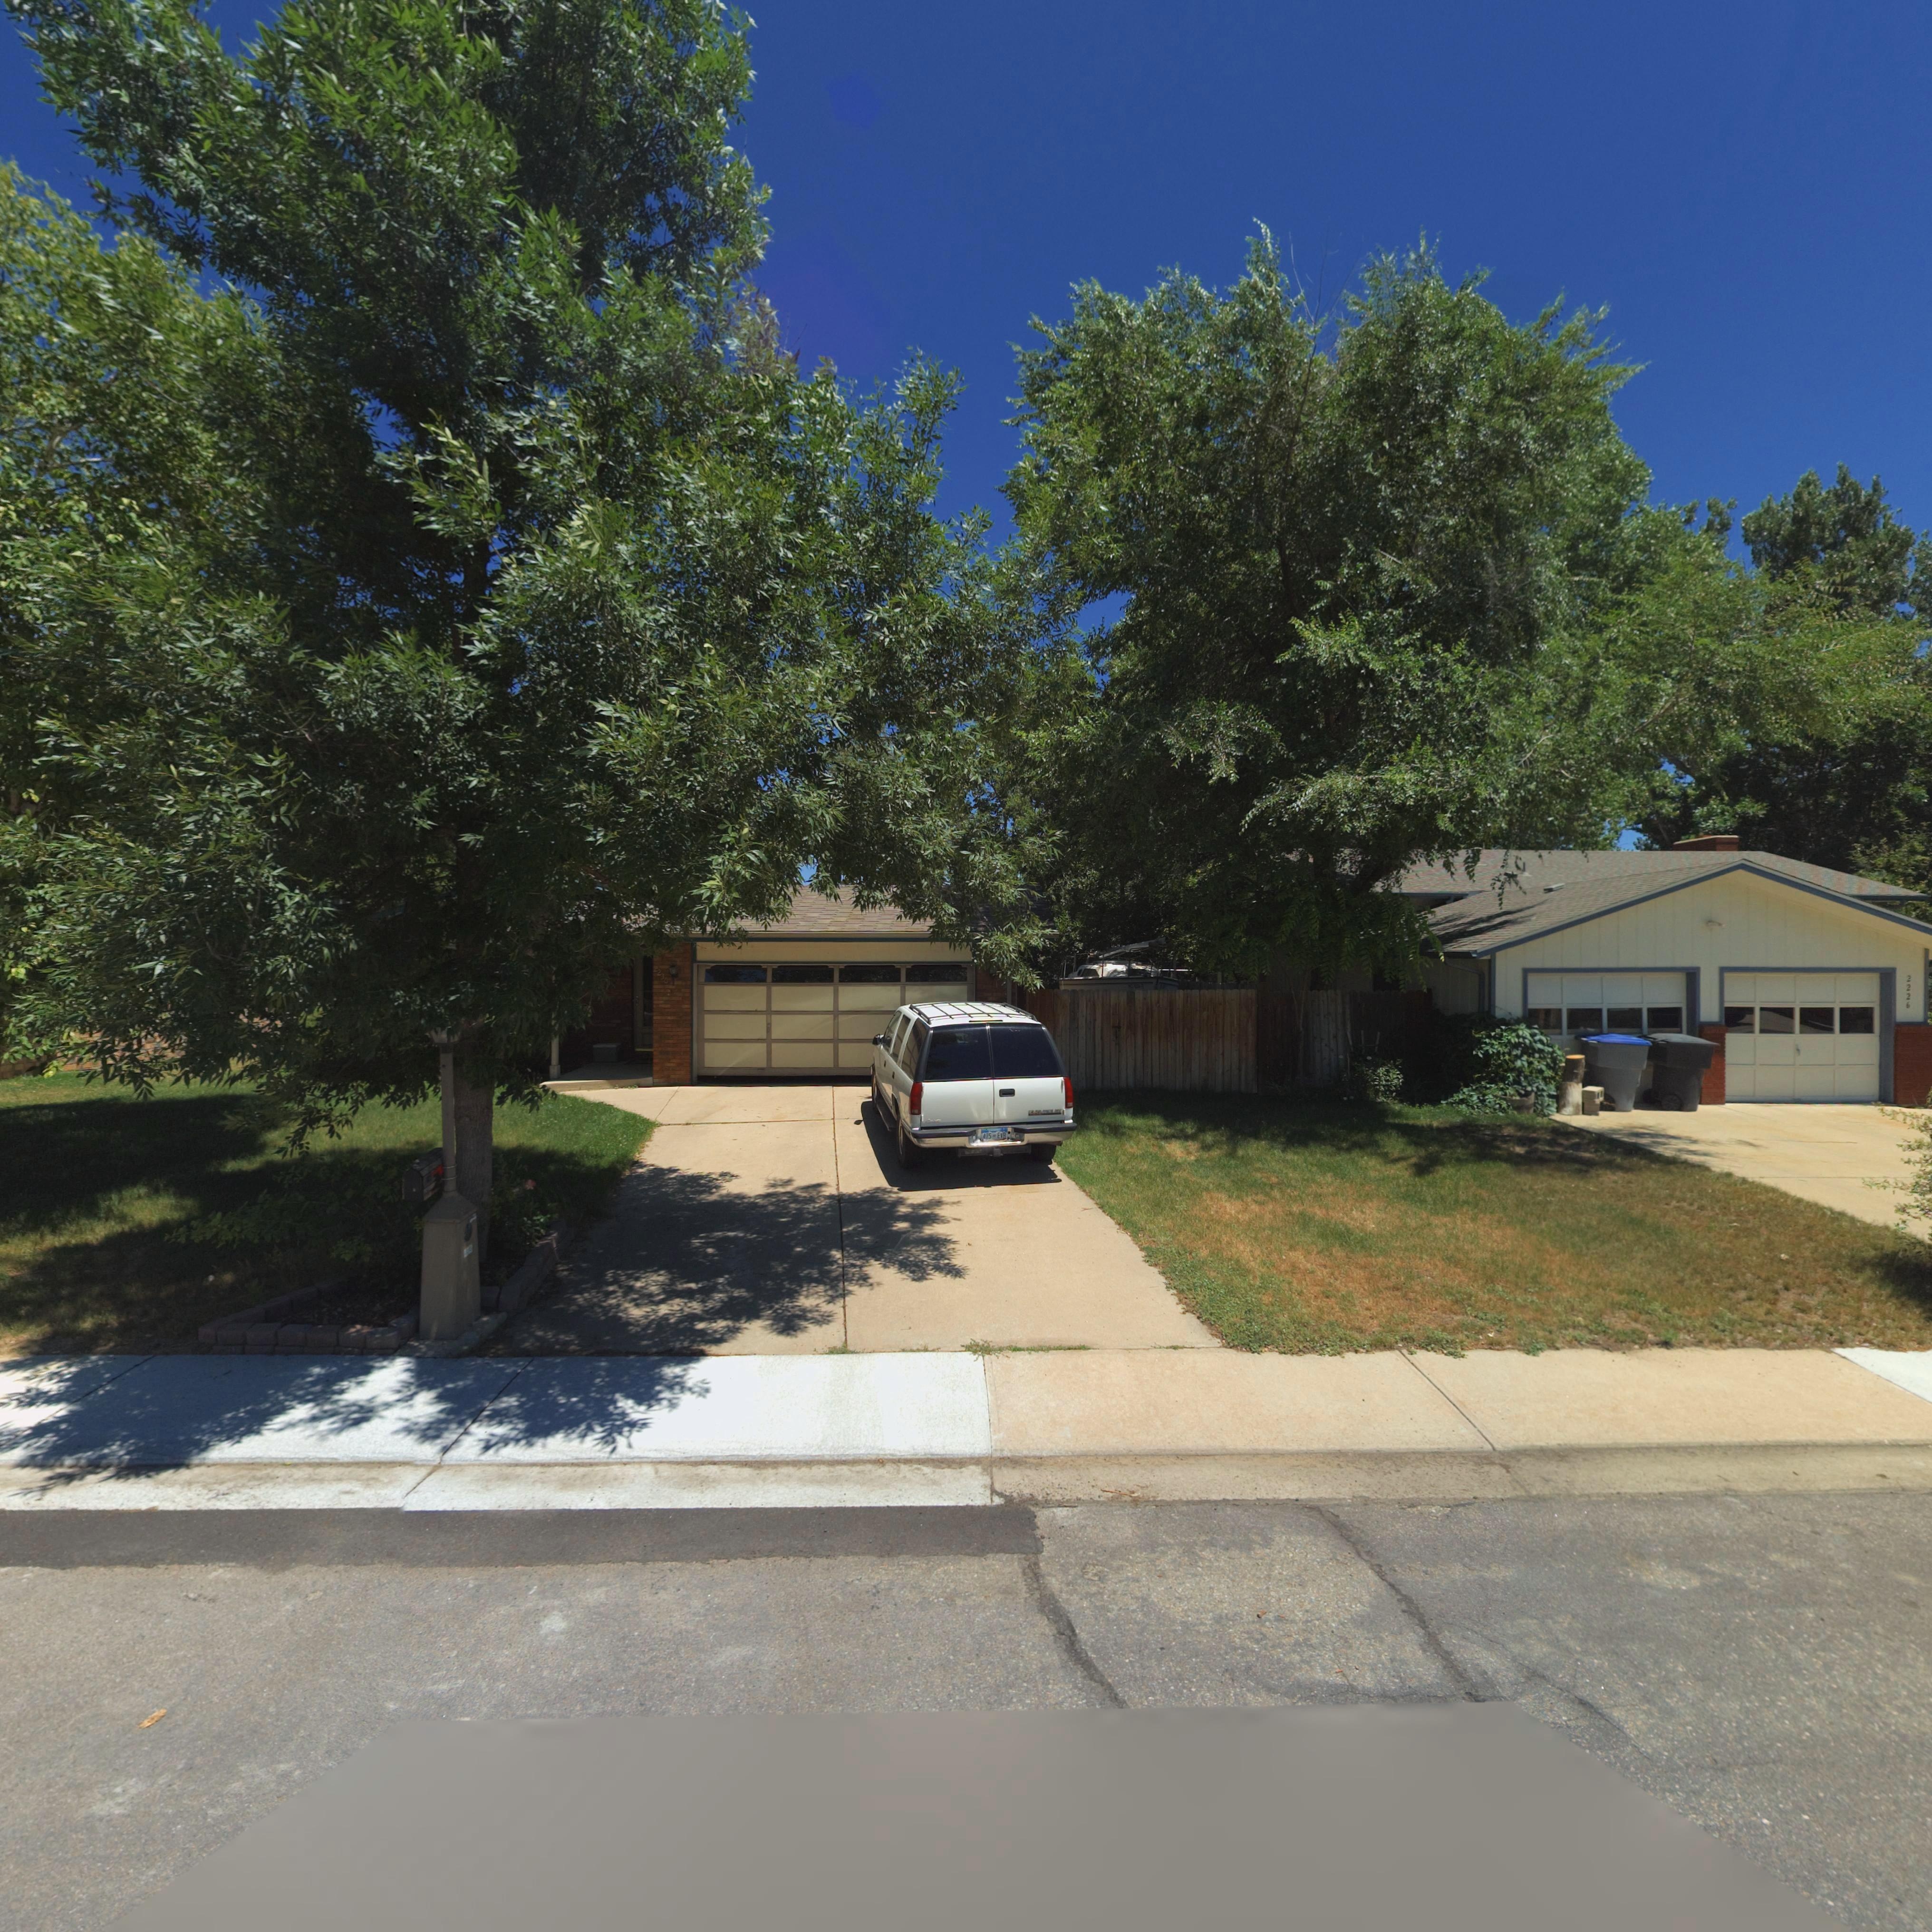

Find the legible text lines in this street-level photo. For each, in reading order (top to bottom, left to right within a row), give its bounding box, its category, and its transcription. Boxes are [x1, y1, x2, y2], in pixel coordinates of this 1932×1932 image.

[653, 965, 669, 985] StreetNumber: 2236
[1905, 974, 1911, 1009] StreetNumber: 2226